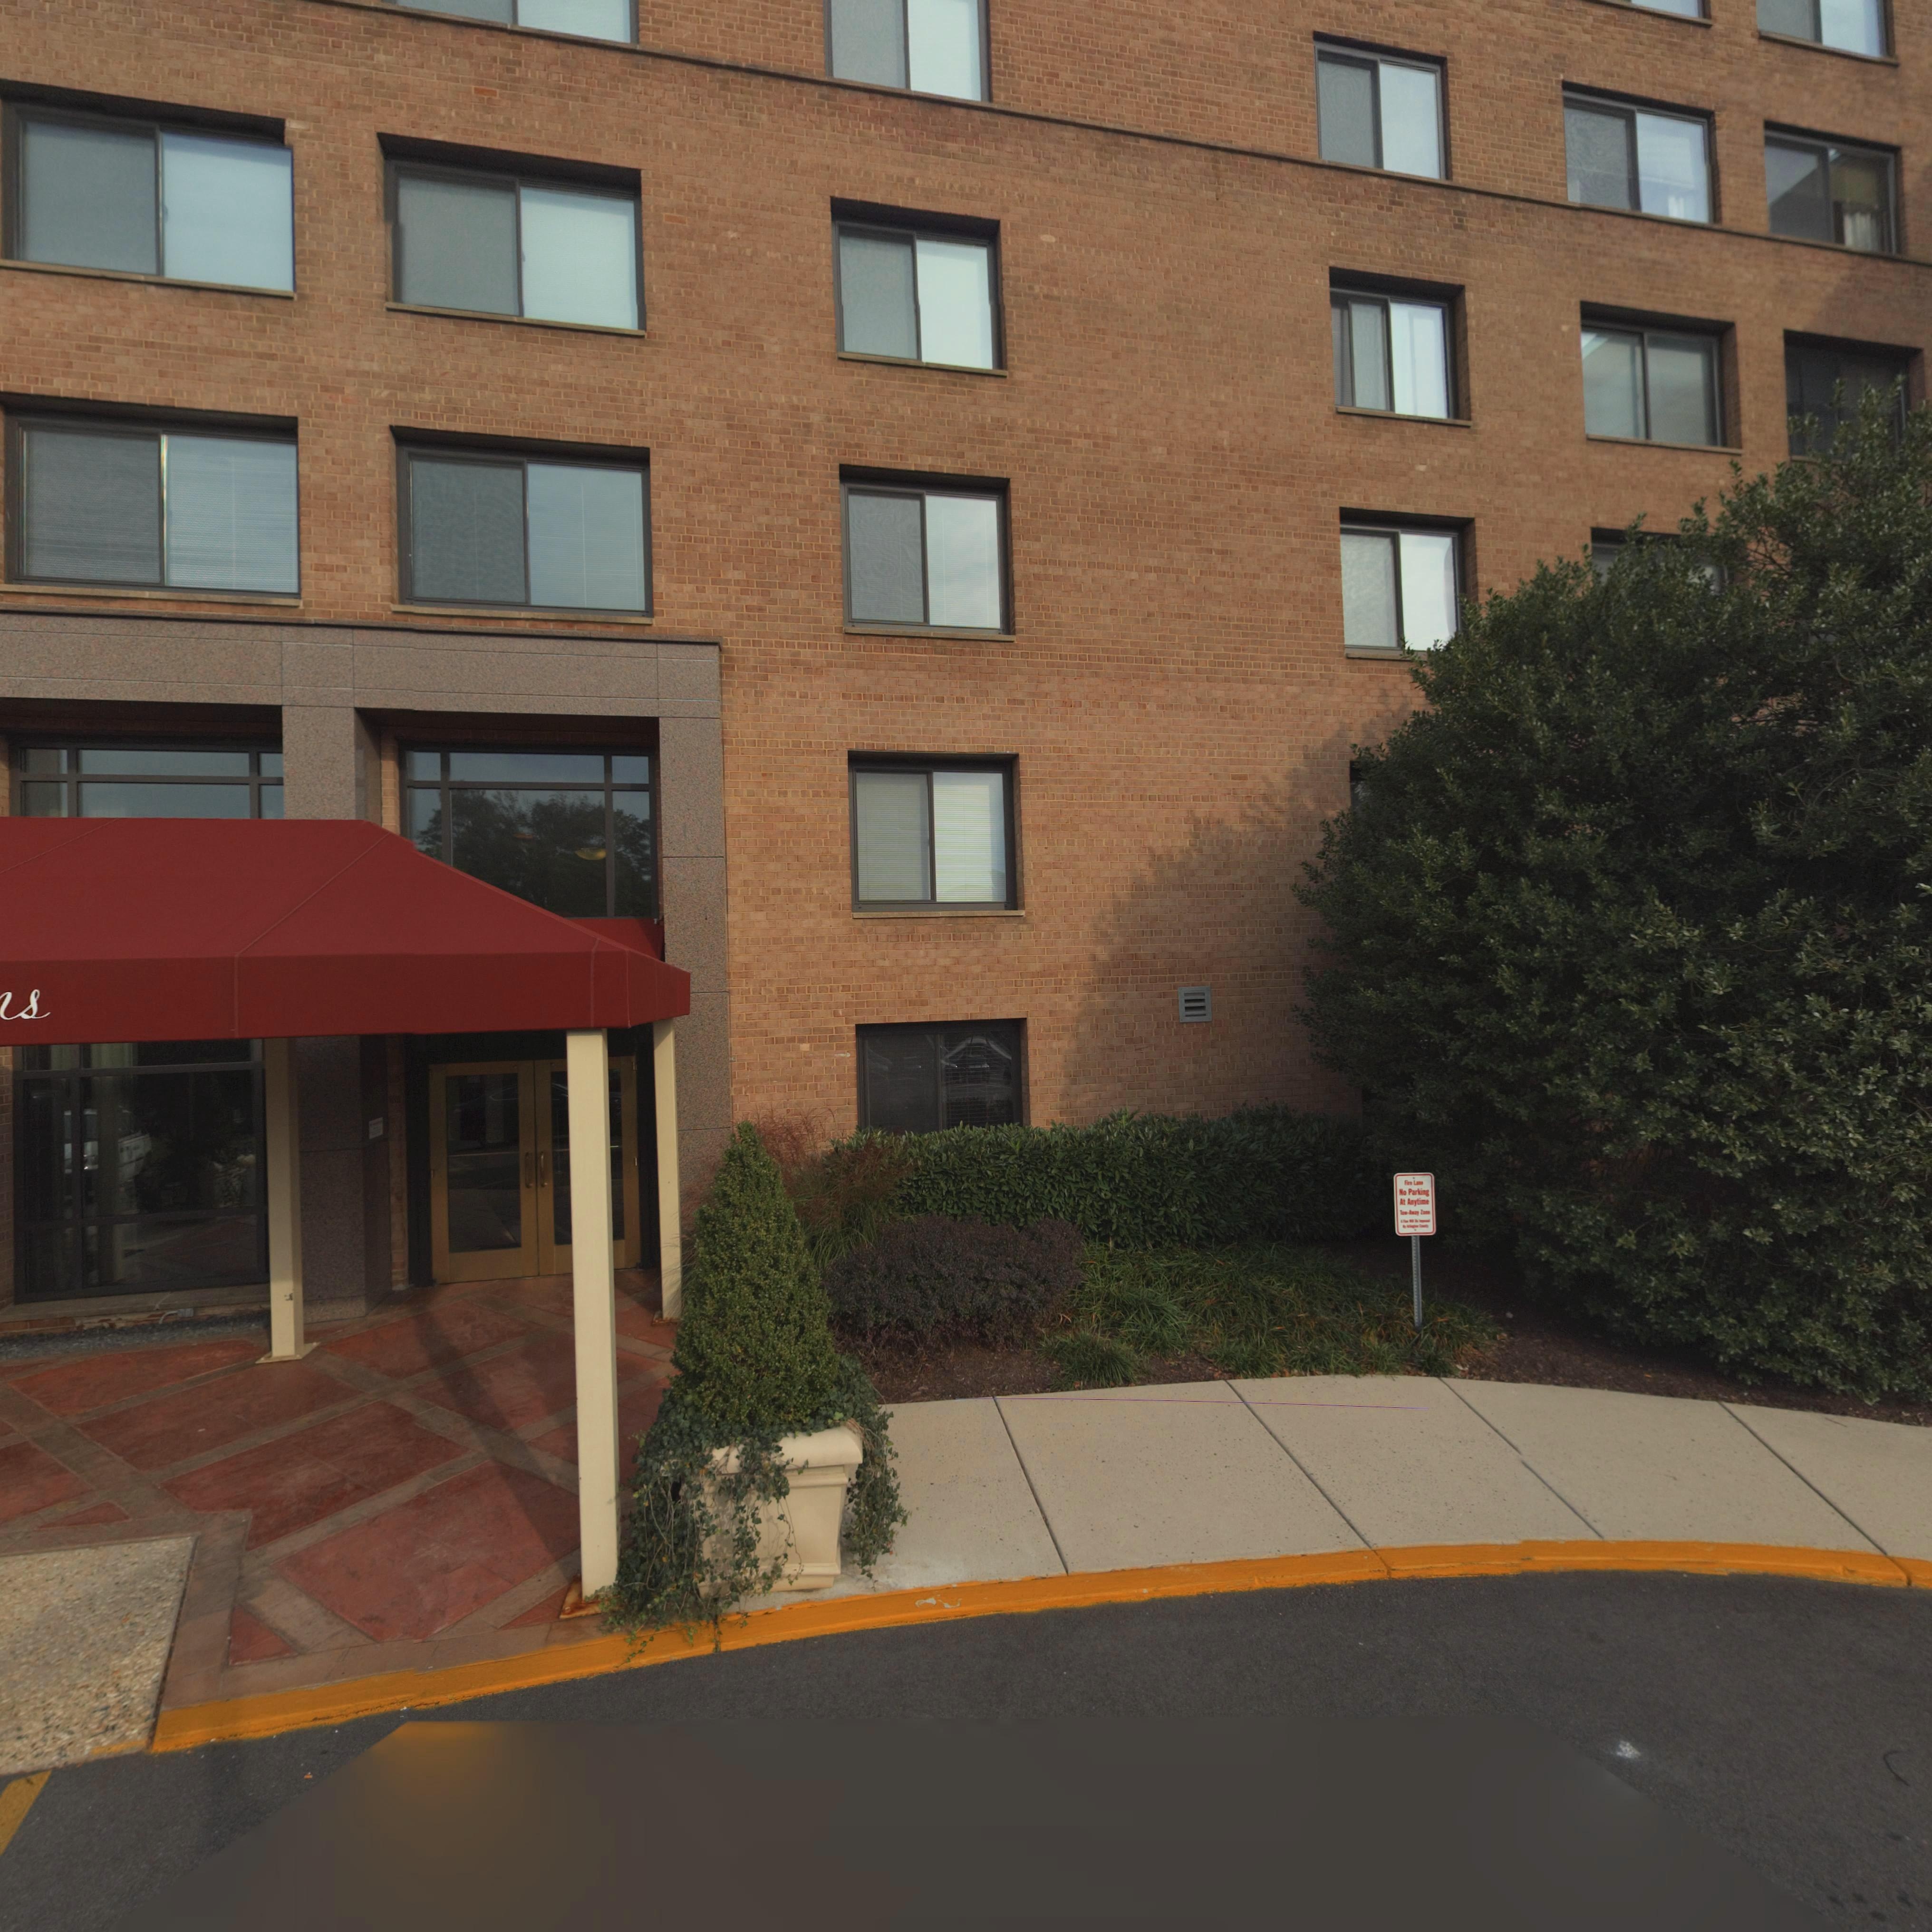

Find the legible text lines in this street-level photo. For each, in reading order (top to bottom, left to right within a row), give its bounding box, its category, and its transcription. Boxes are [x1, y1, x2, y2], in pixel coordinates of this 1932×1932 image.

[11, 982, 46, 1024] BusinessName: s
[1412, 1179, 1419, 1188] None: L
[1397, 1187, 1431, 1198] None: No Parking
[1398, 1197, 1430, 1208] None: At Anytime
[1399, 1209, 1424, 1217] None: T**-**ay Z